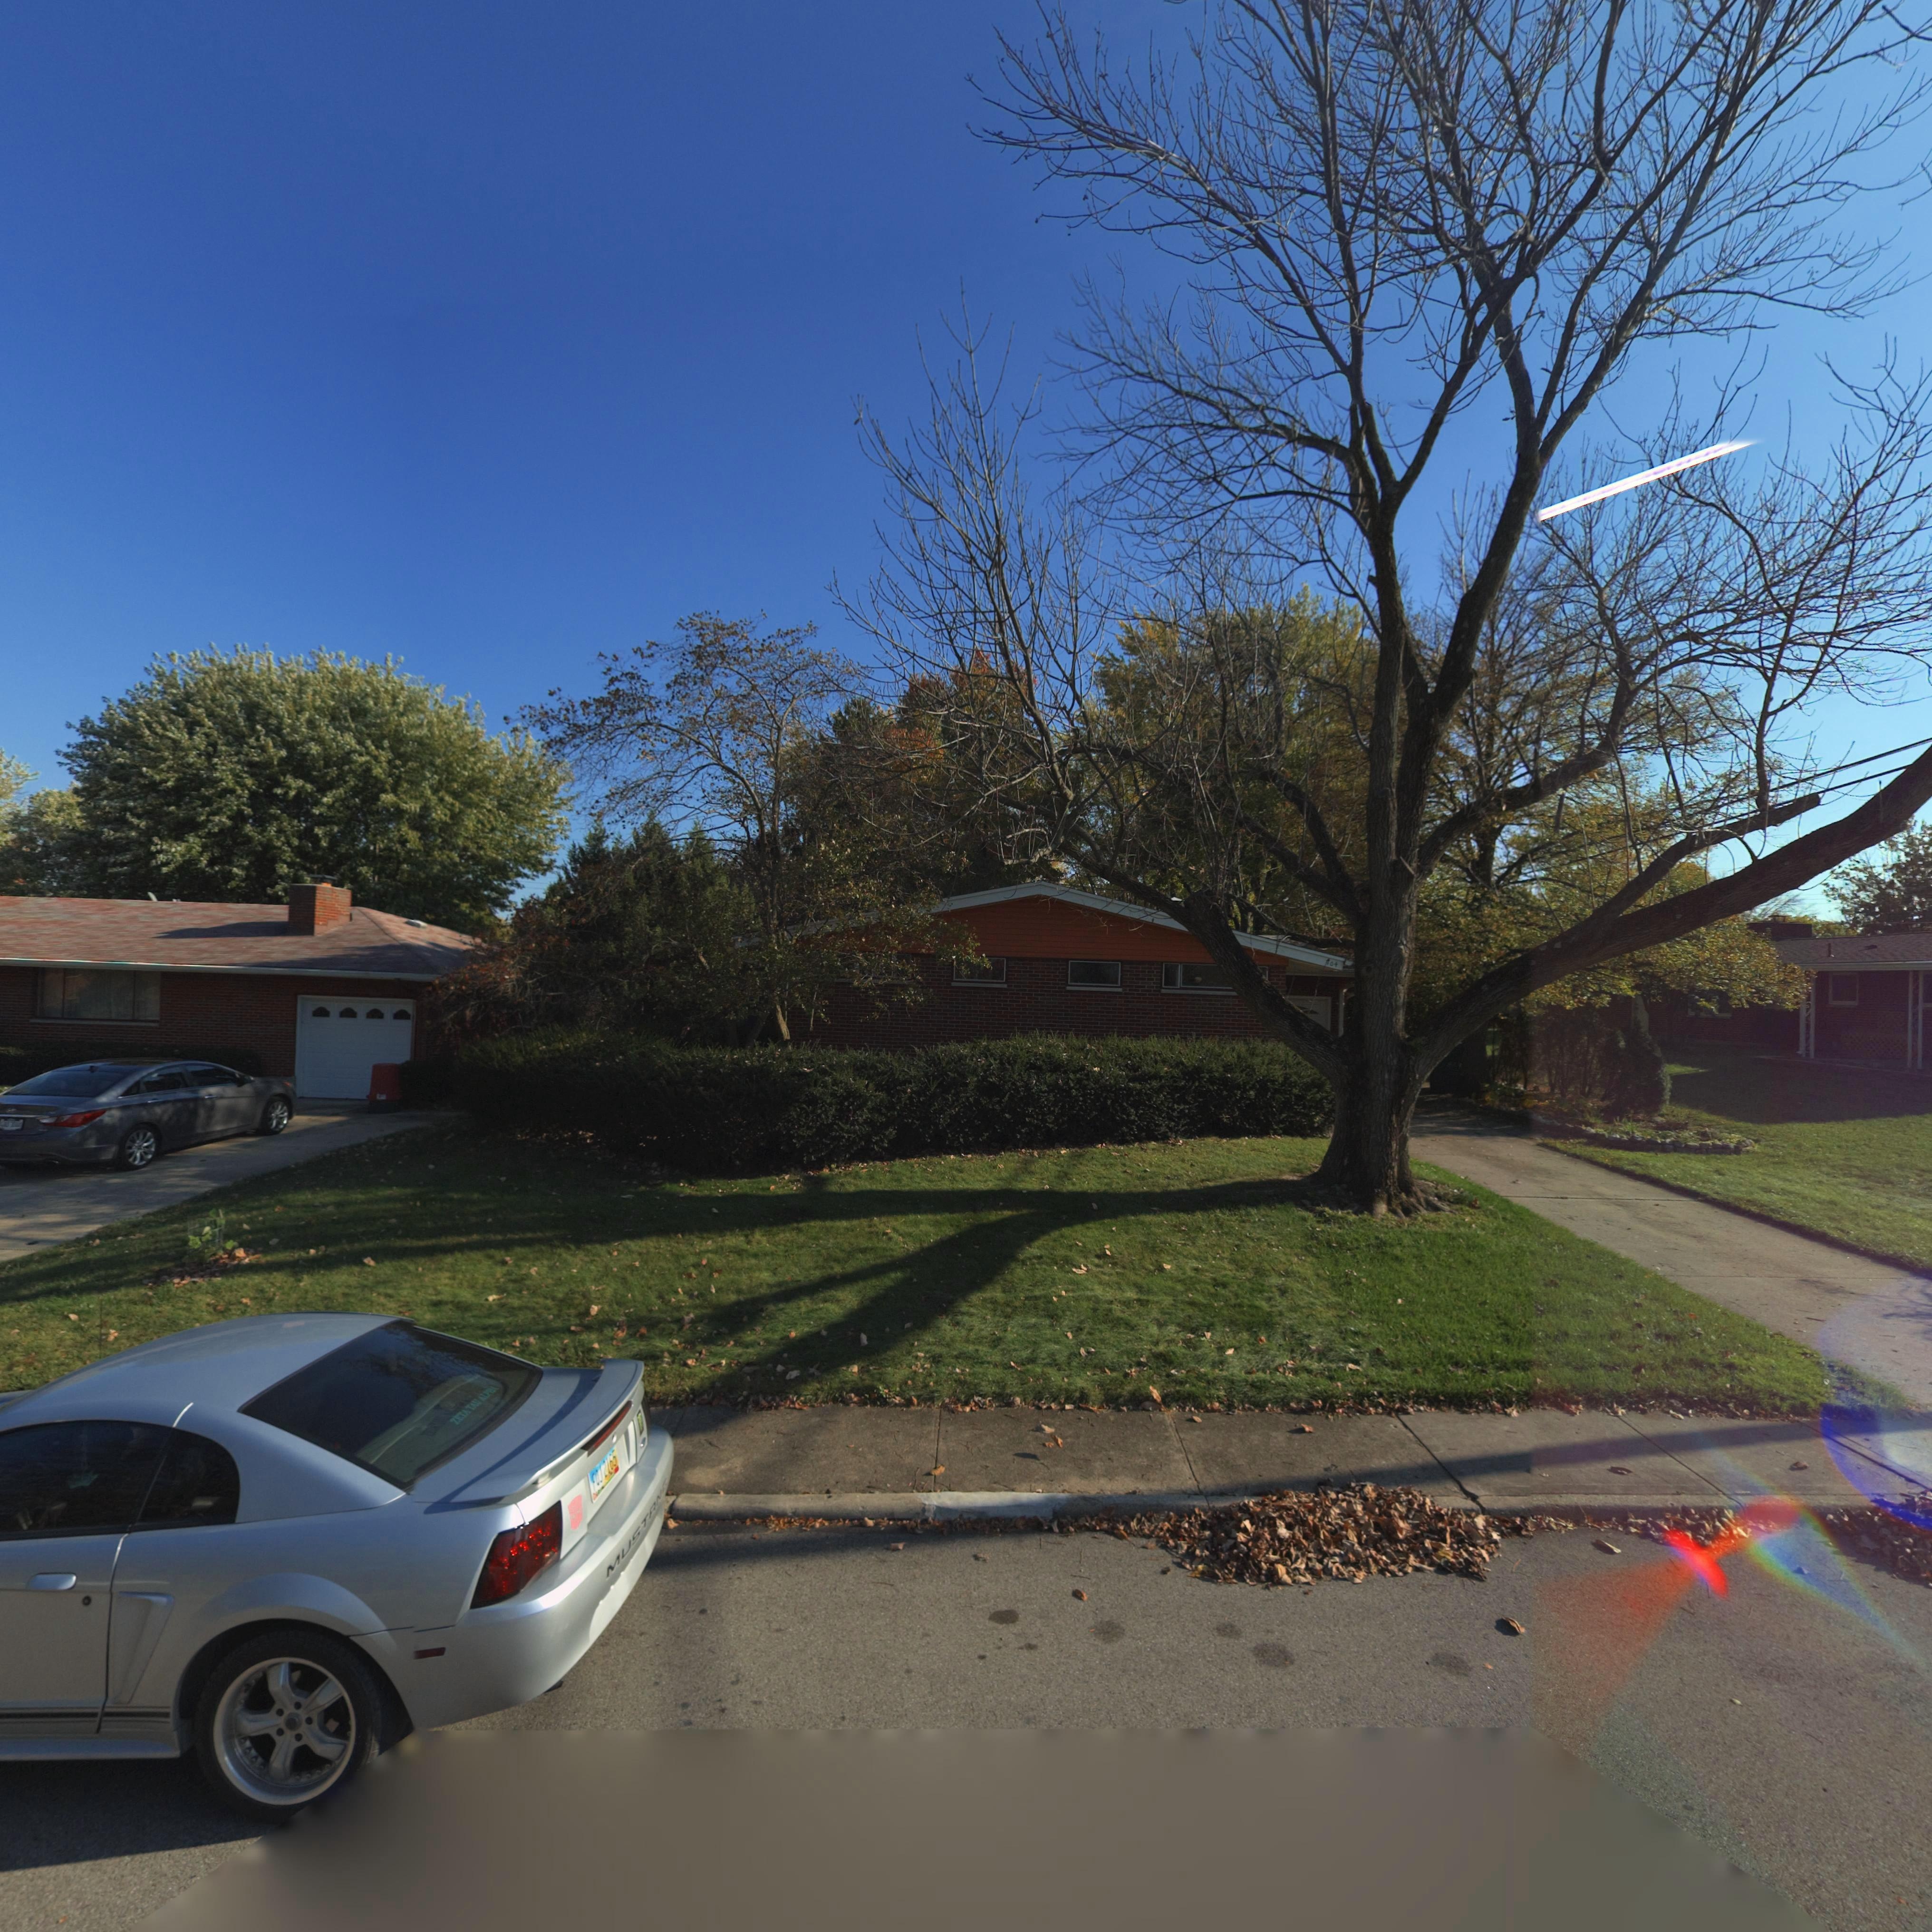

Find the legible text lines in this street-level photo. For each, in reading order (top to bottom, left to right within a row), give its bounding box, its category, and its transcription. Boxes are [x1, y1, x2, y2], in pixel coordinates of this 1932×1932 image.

[1325, 958, 1339, 969] StreetNumber: *04